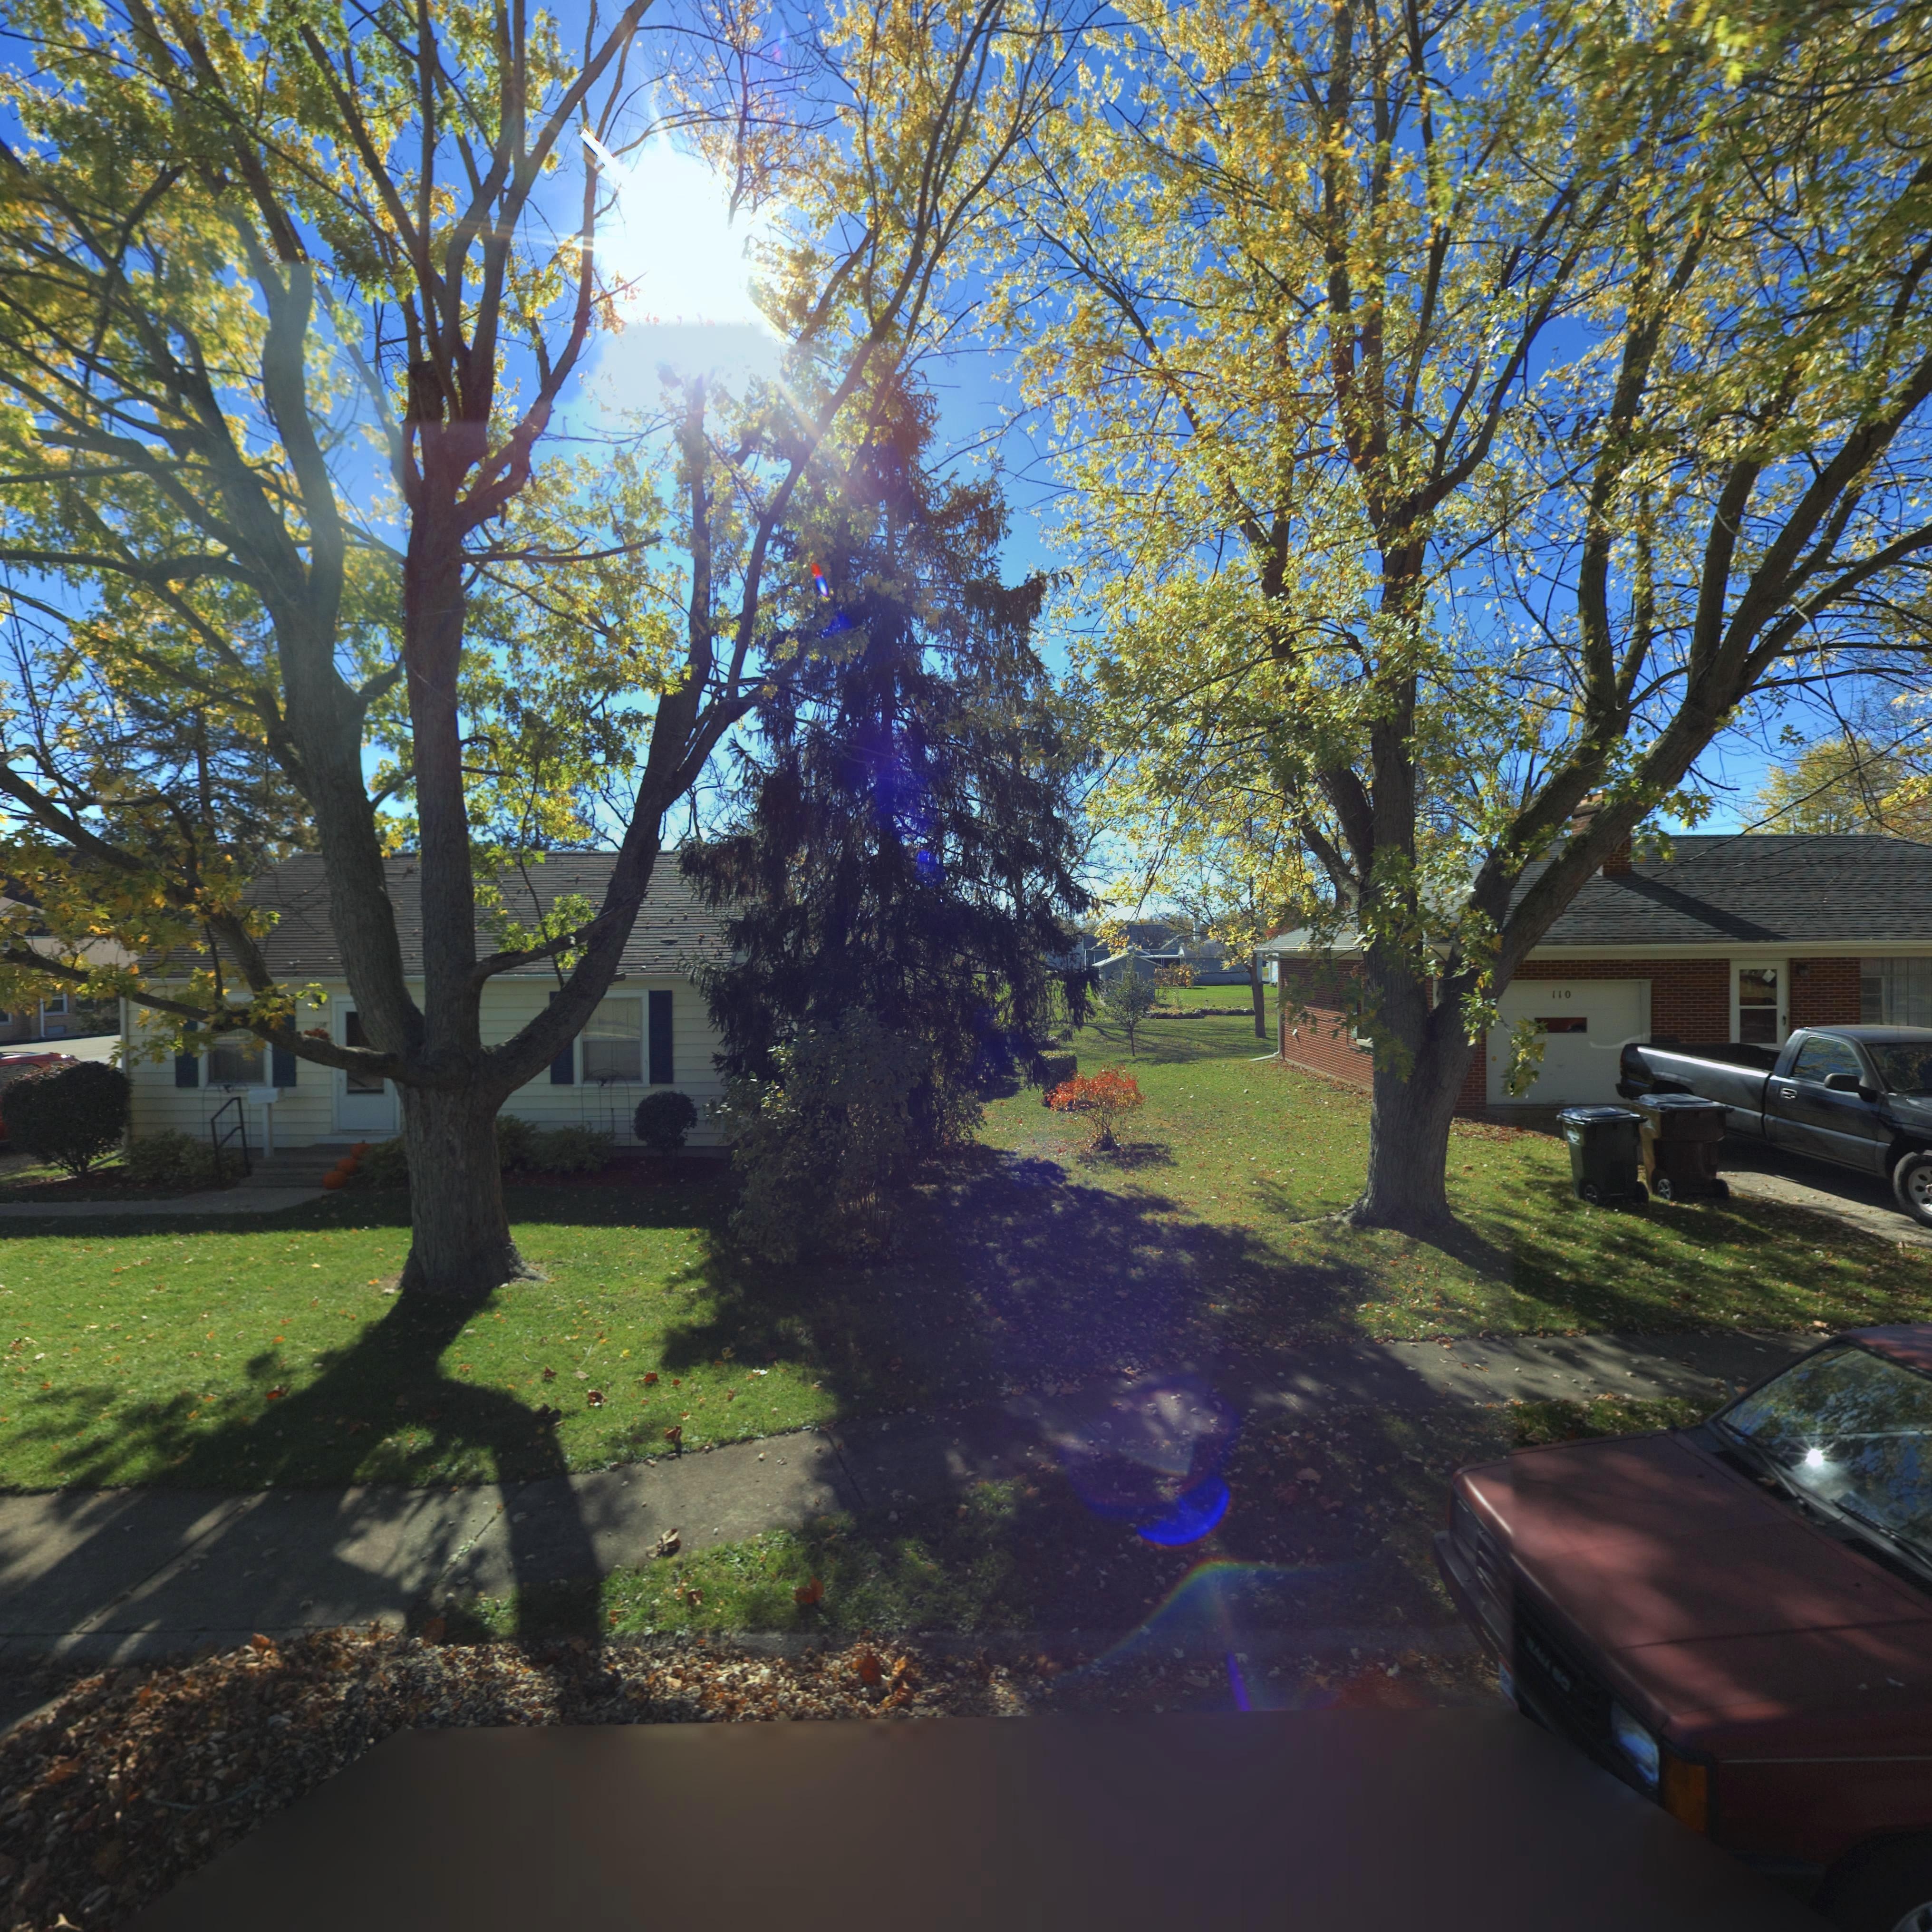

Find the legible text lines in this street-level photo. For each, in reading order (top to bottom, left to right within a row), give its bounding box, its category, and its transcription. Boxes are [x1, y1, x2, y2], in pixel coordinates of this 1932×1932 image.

[1552, 990, 1571, 999] StreetNumber: 110
[313, 1021, 328, 1030] StreetNumber: 108
[1524, 1634, 1571, 1696] None: RAM 50